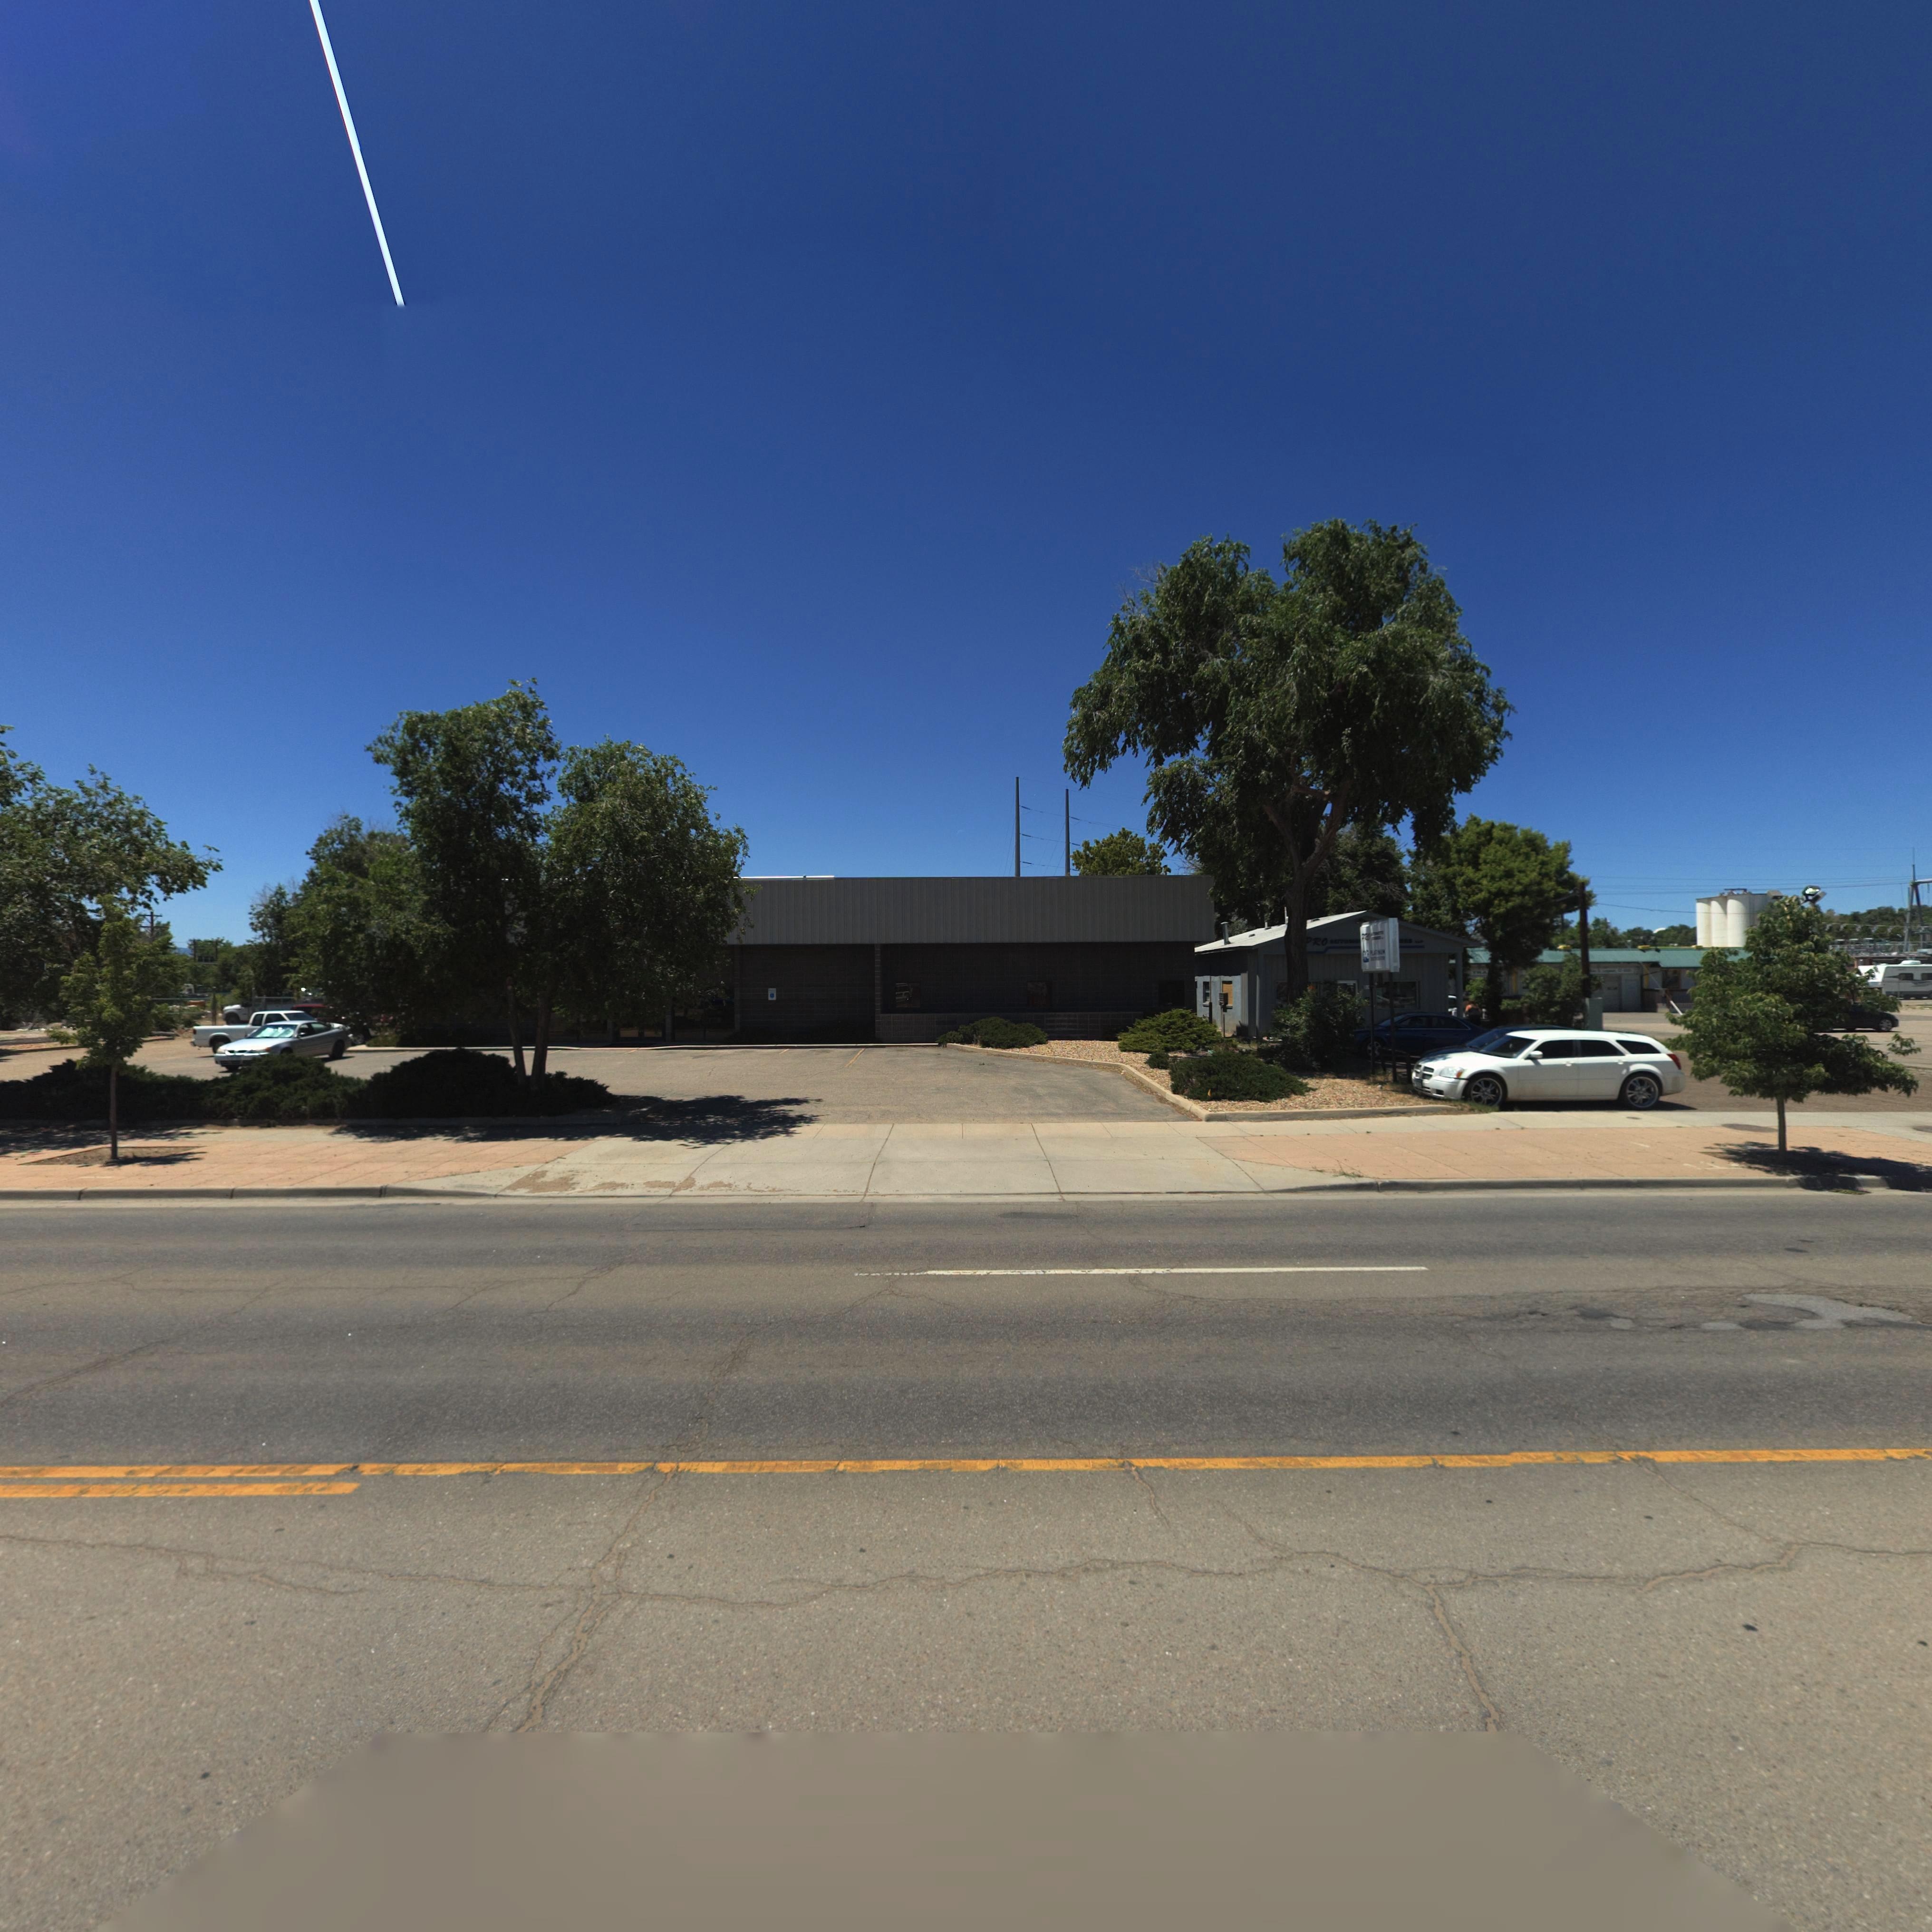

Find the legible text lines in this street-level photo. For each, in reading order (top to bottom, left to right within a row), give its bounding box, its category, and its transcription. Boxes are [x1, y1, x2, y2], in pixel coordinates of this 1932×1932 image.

[1305, 936, 1328, 946] BusinessName: *RO
[1361, 932, 1371, 941] BusinessName: P**
[1329, 938, 1414, 944] BusinessName: AUT******* ********